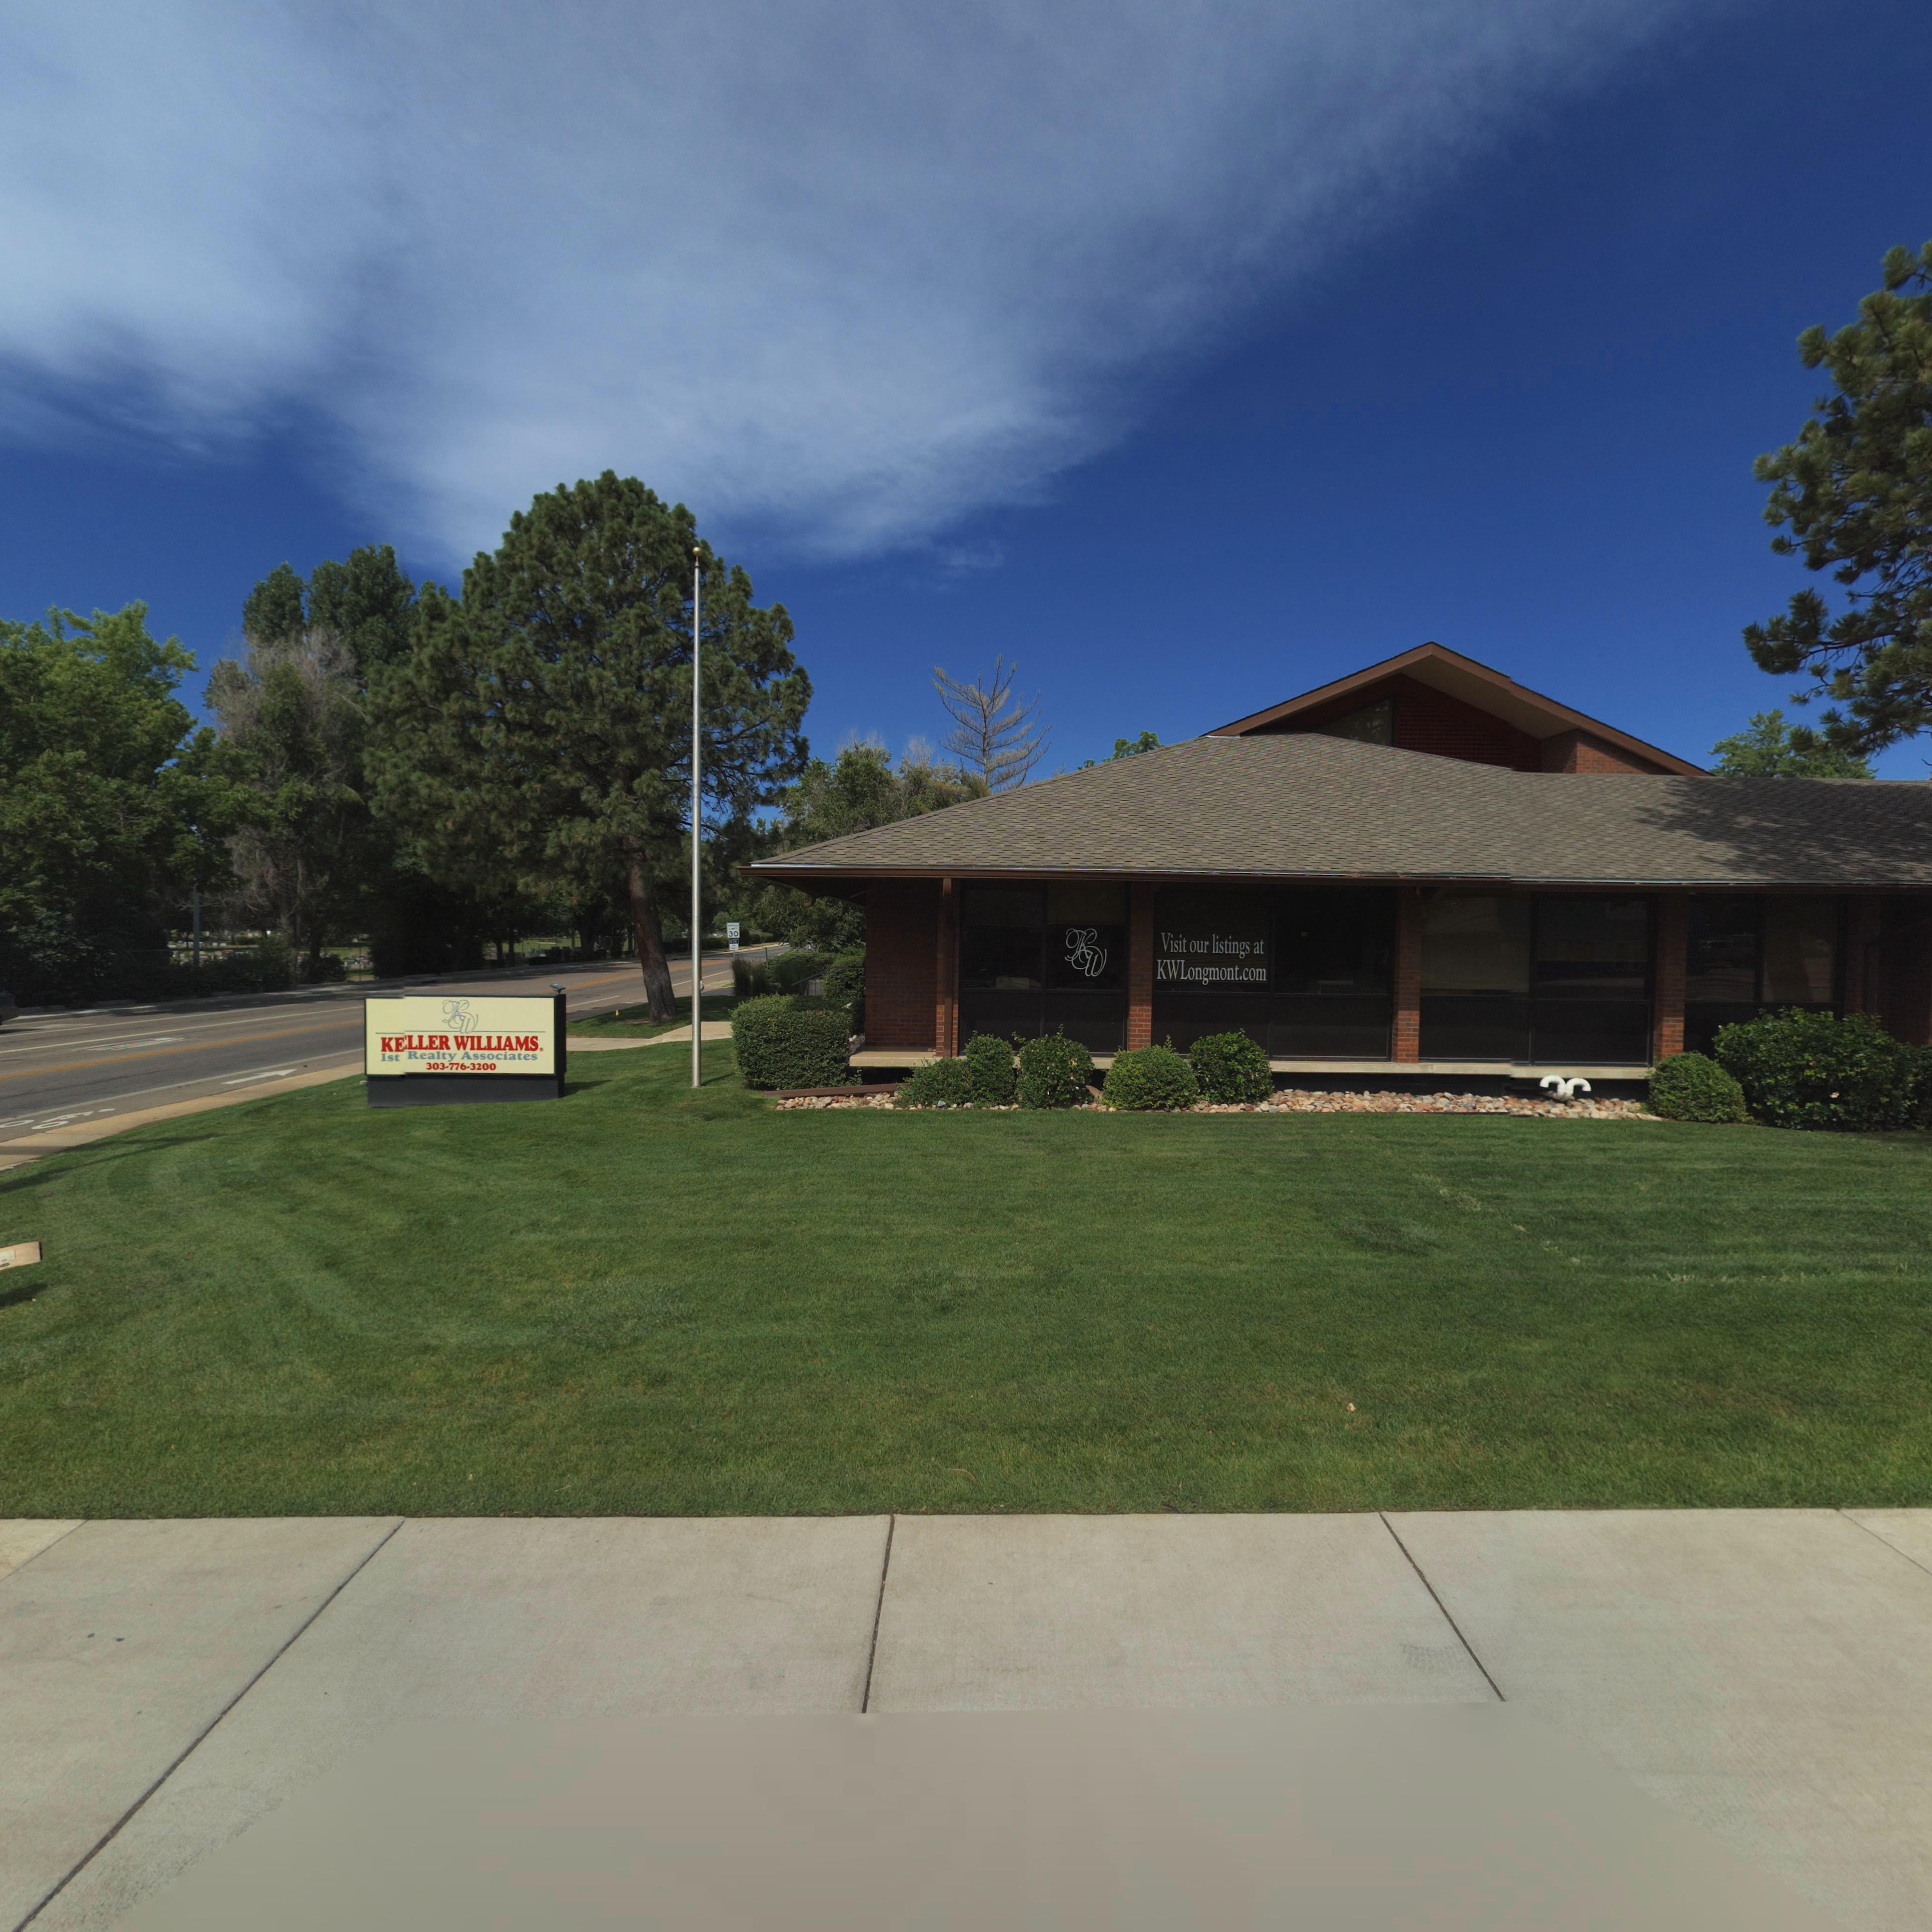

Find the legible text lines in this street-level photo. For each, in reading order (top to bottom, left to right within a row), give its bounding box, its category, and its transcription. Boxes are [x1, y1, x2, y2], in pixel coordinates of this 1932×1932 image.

[380, 1034, 539, 1052] BusinessName: KE*LLER WILLIAMS
[379, 1051, 538, 1063] BusinessName: 1st Realty Associates